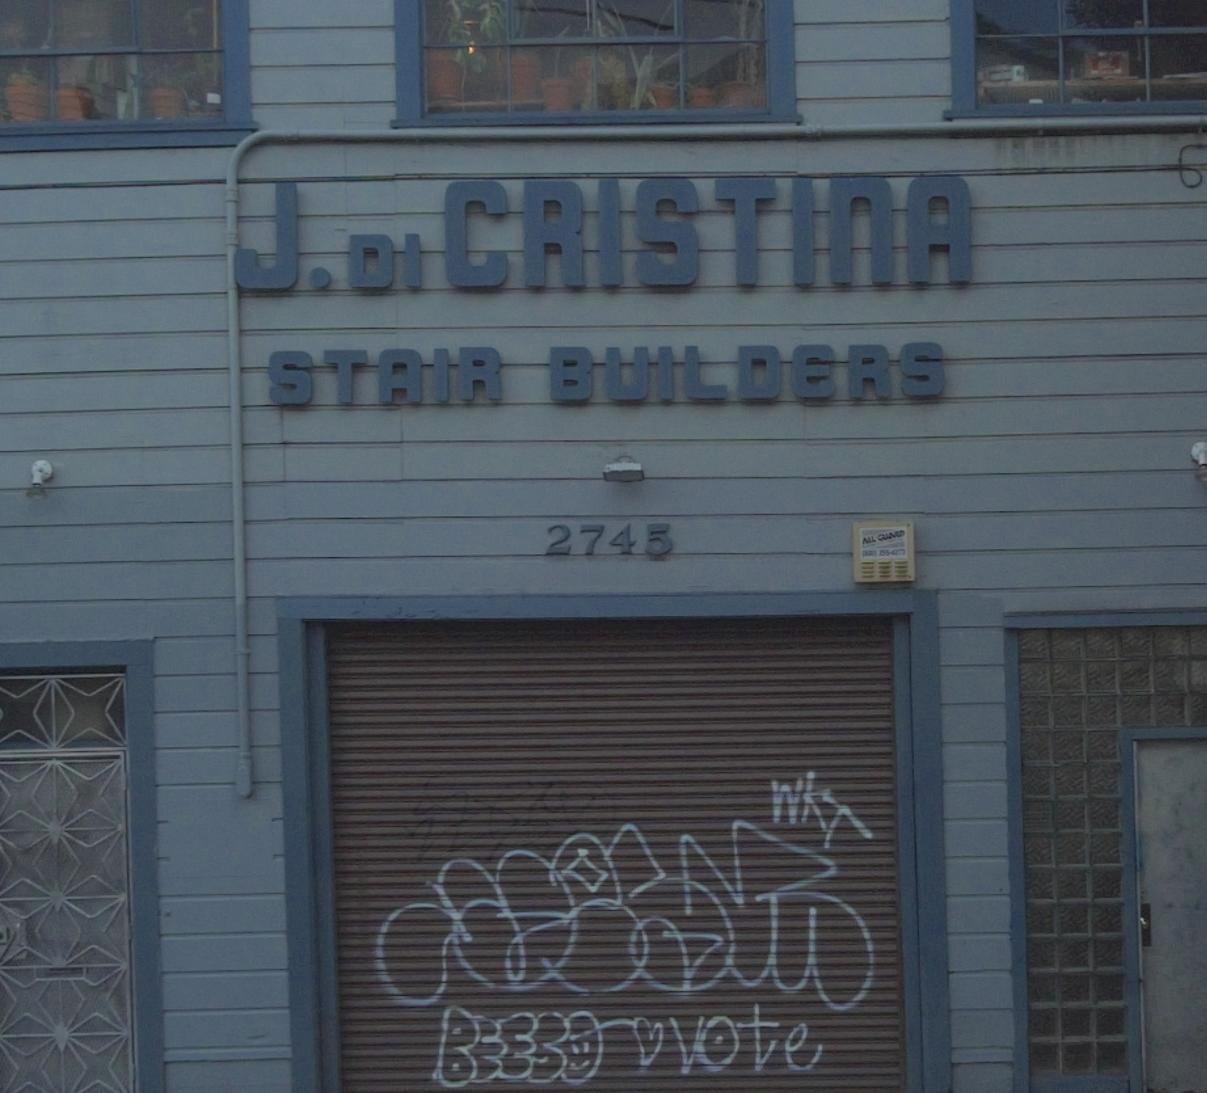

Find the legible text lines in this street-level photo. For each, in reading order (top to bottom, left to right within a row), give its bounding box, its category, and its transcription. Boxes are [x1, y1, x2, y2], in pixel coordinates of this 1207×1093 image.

[228, 177, 304, 292] BusinessName: J
[345, 229, 429, 292] BusinessName: DI
[441, 170, 978, 293] BusinessName: CRISTINA
[265, 340, 952, 407] BusinessName: STAIR BUILDERS
[545, 523, 672, 557] StreetNumber: 2745